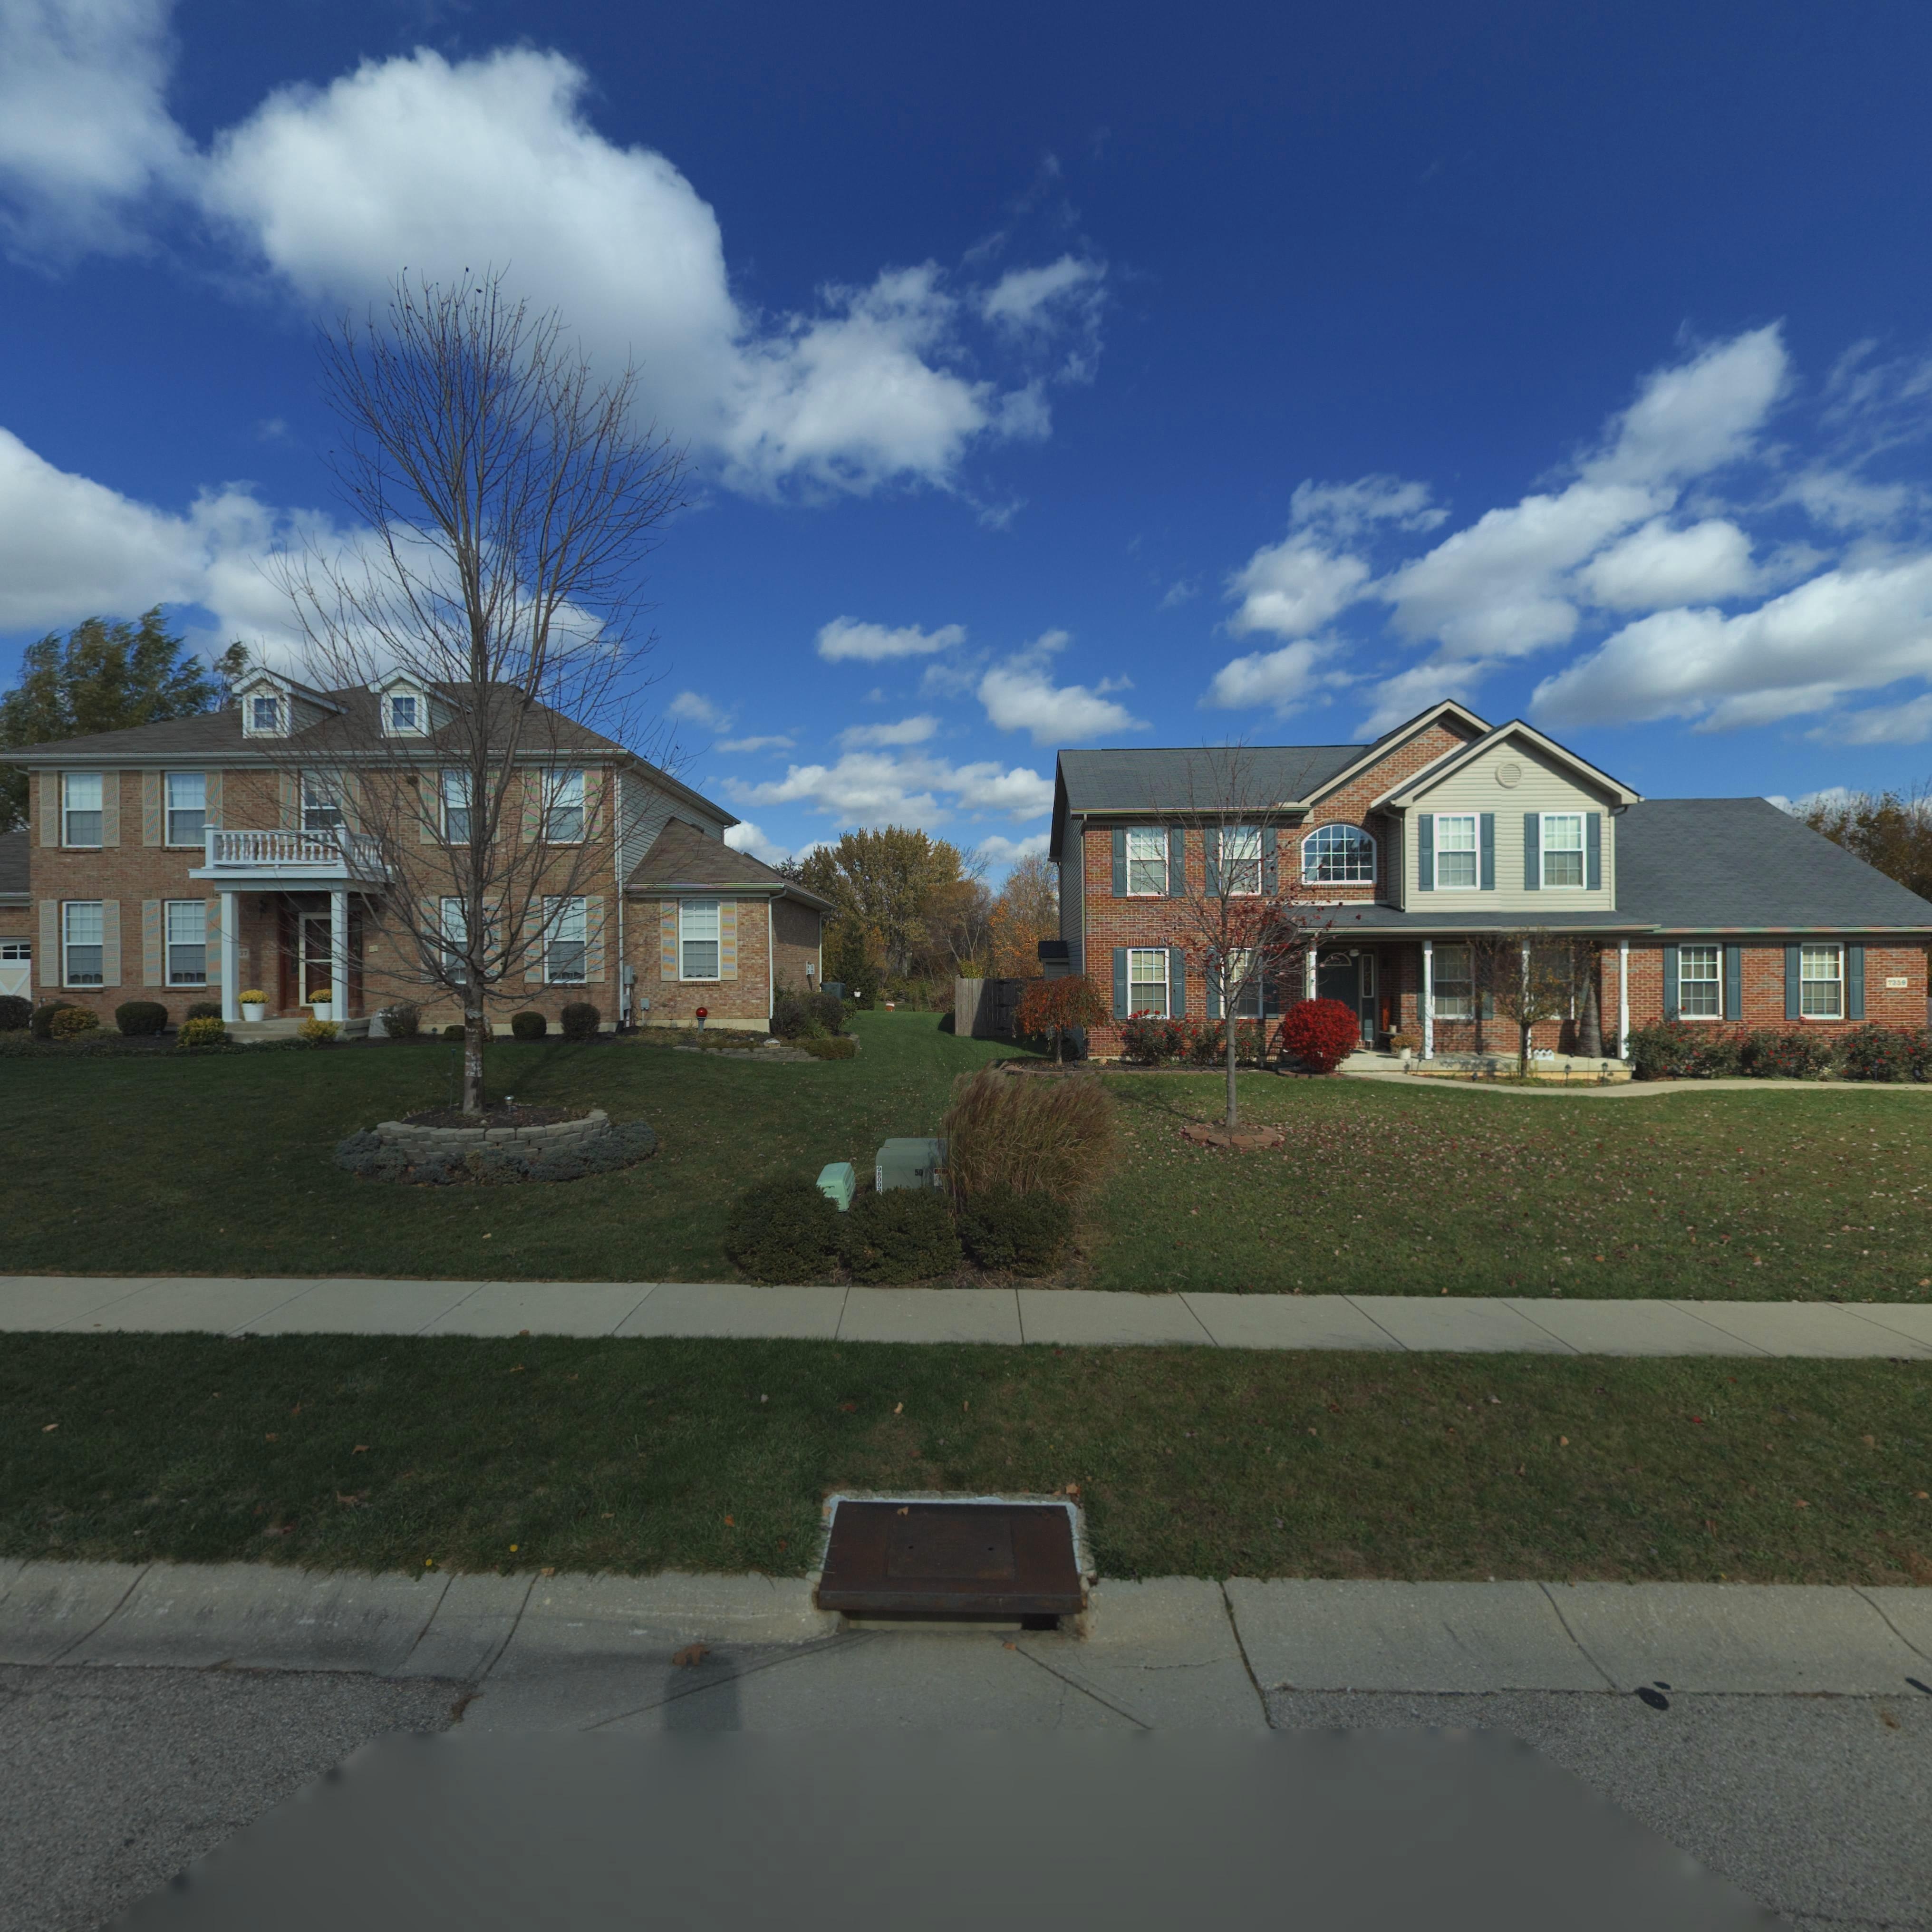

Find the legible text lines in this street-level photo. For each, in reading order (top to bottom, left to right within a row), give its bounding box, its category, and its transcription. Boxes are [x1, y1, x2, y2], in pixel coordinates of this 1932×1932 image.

[1887, 979, 1906, 986] StreetNumber: 73*9